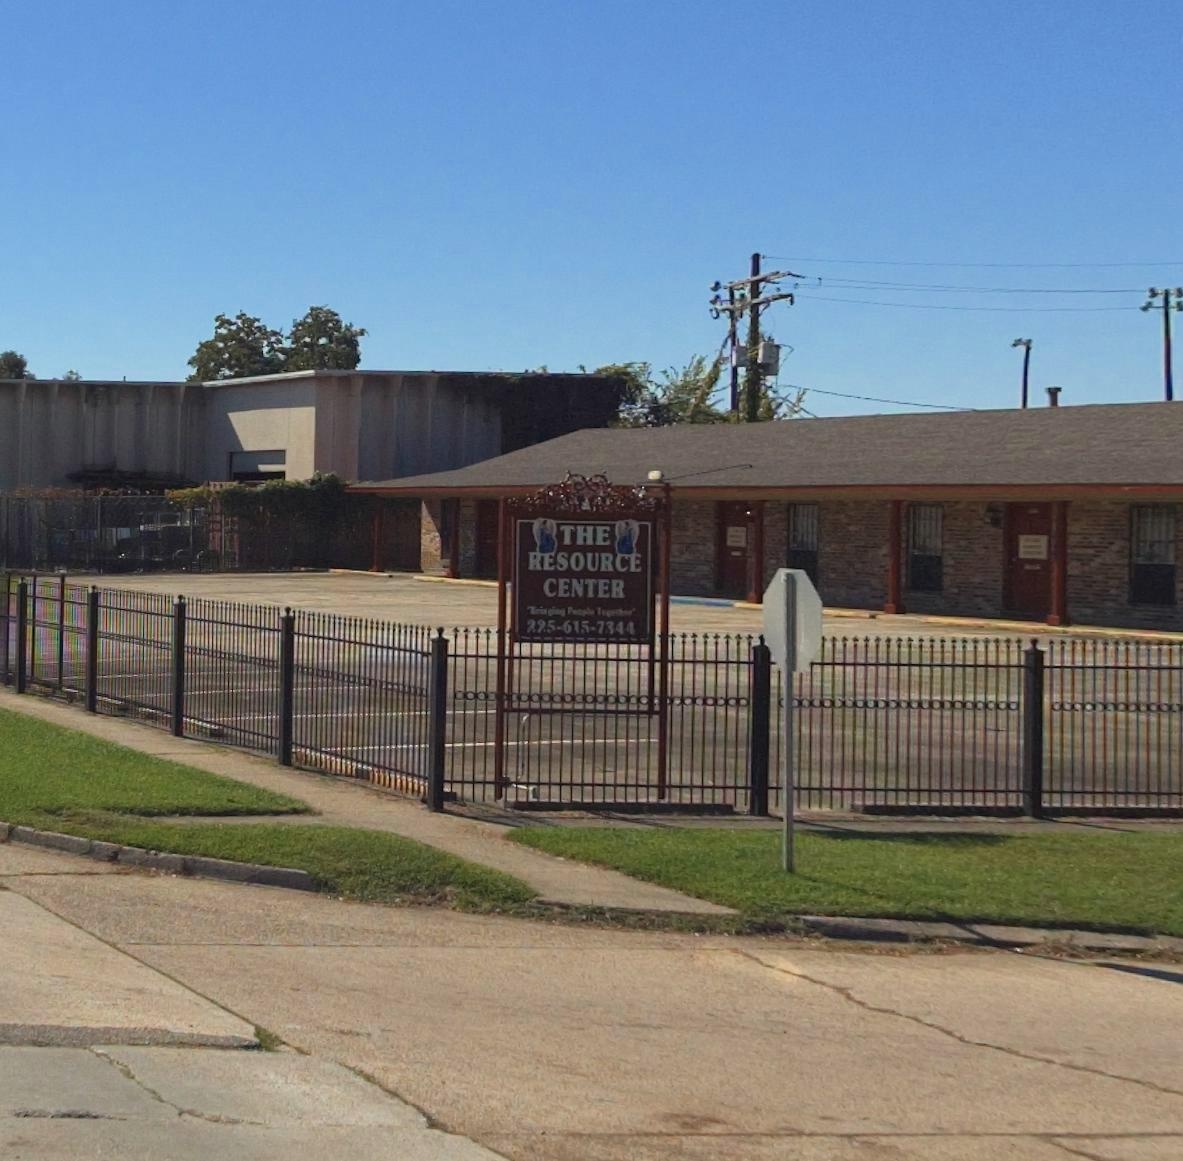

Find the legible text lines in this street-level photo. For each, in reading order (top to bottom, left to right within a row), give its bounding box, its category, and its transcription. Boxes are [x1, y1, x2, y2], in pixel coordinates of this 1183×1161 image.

[557, 523, 613, 548] BusinessName: THE
[526, 549, 645, 575] BusinessName: RESOURCE
[539, 575, 629, 601] BusinessName: CENTER
[523, 616, 638, 638] None: 225-615-7344